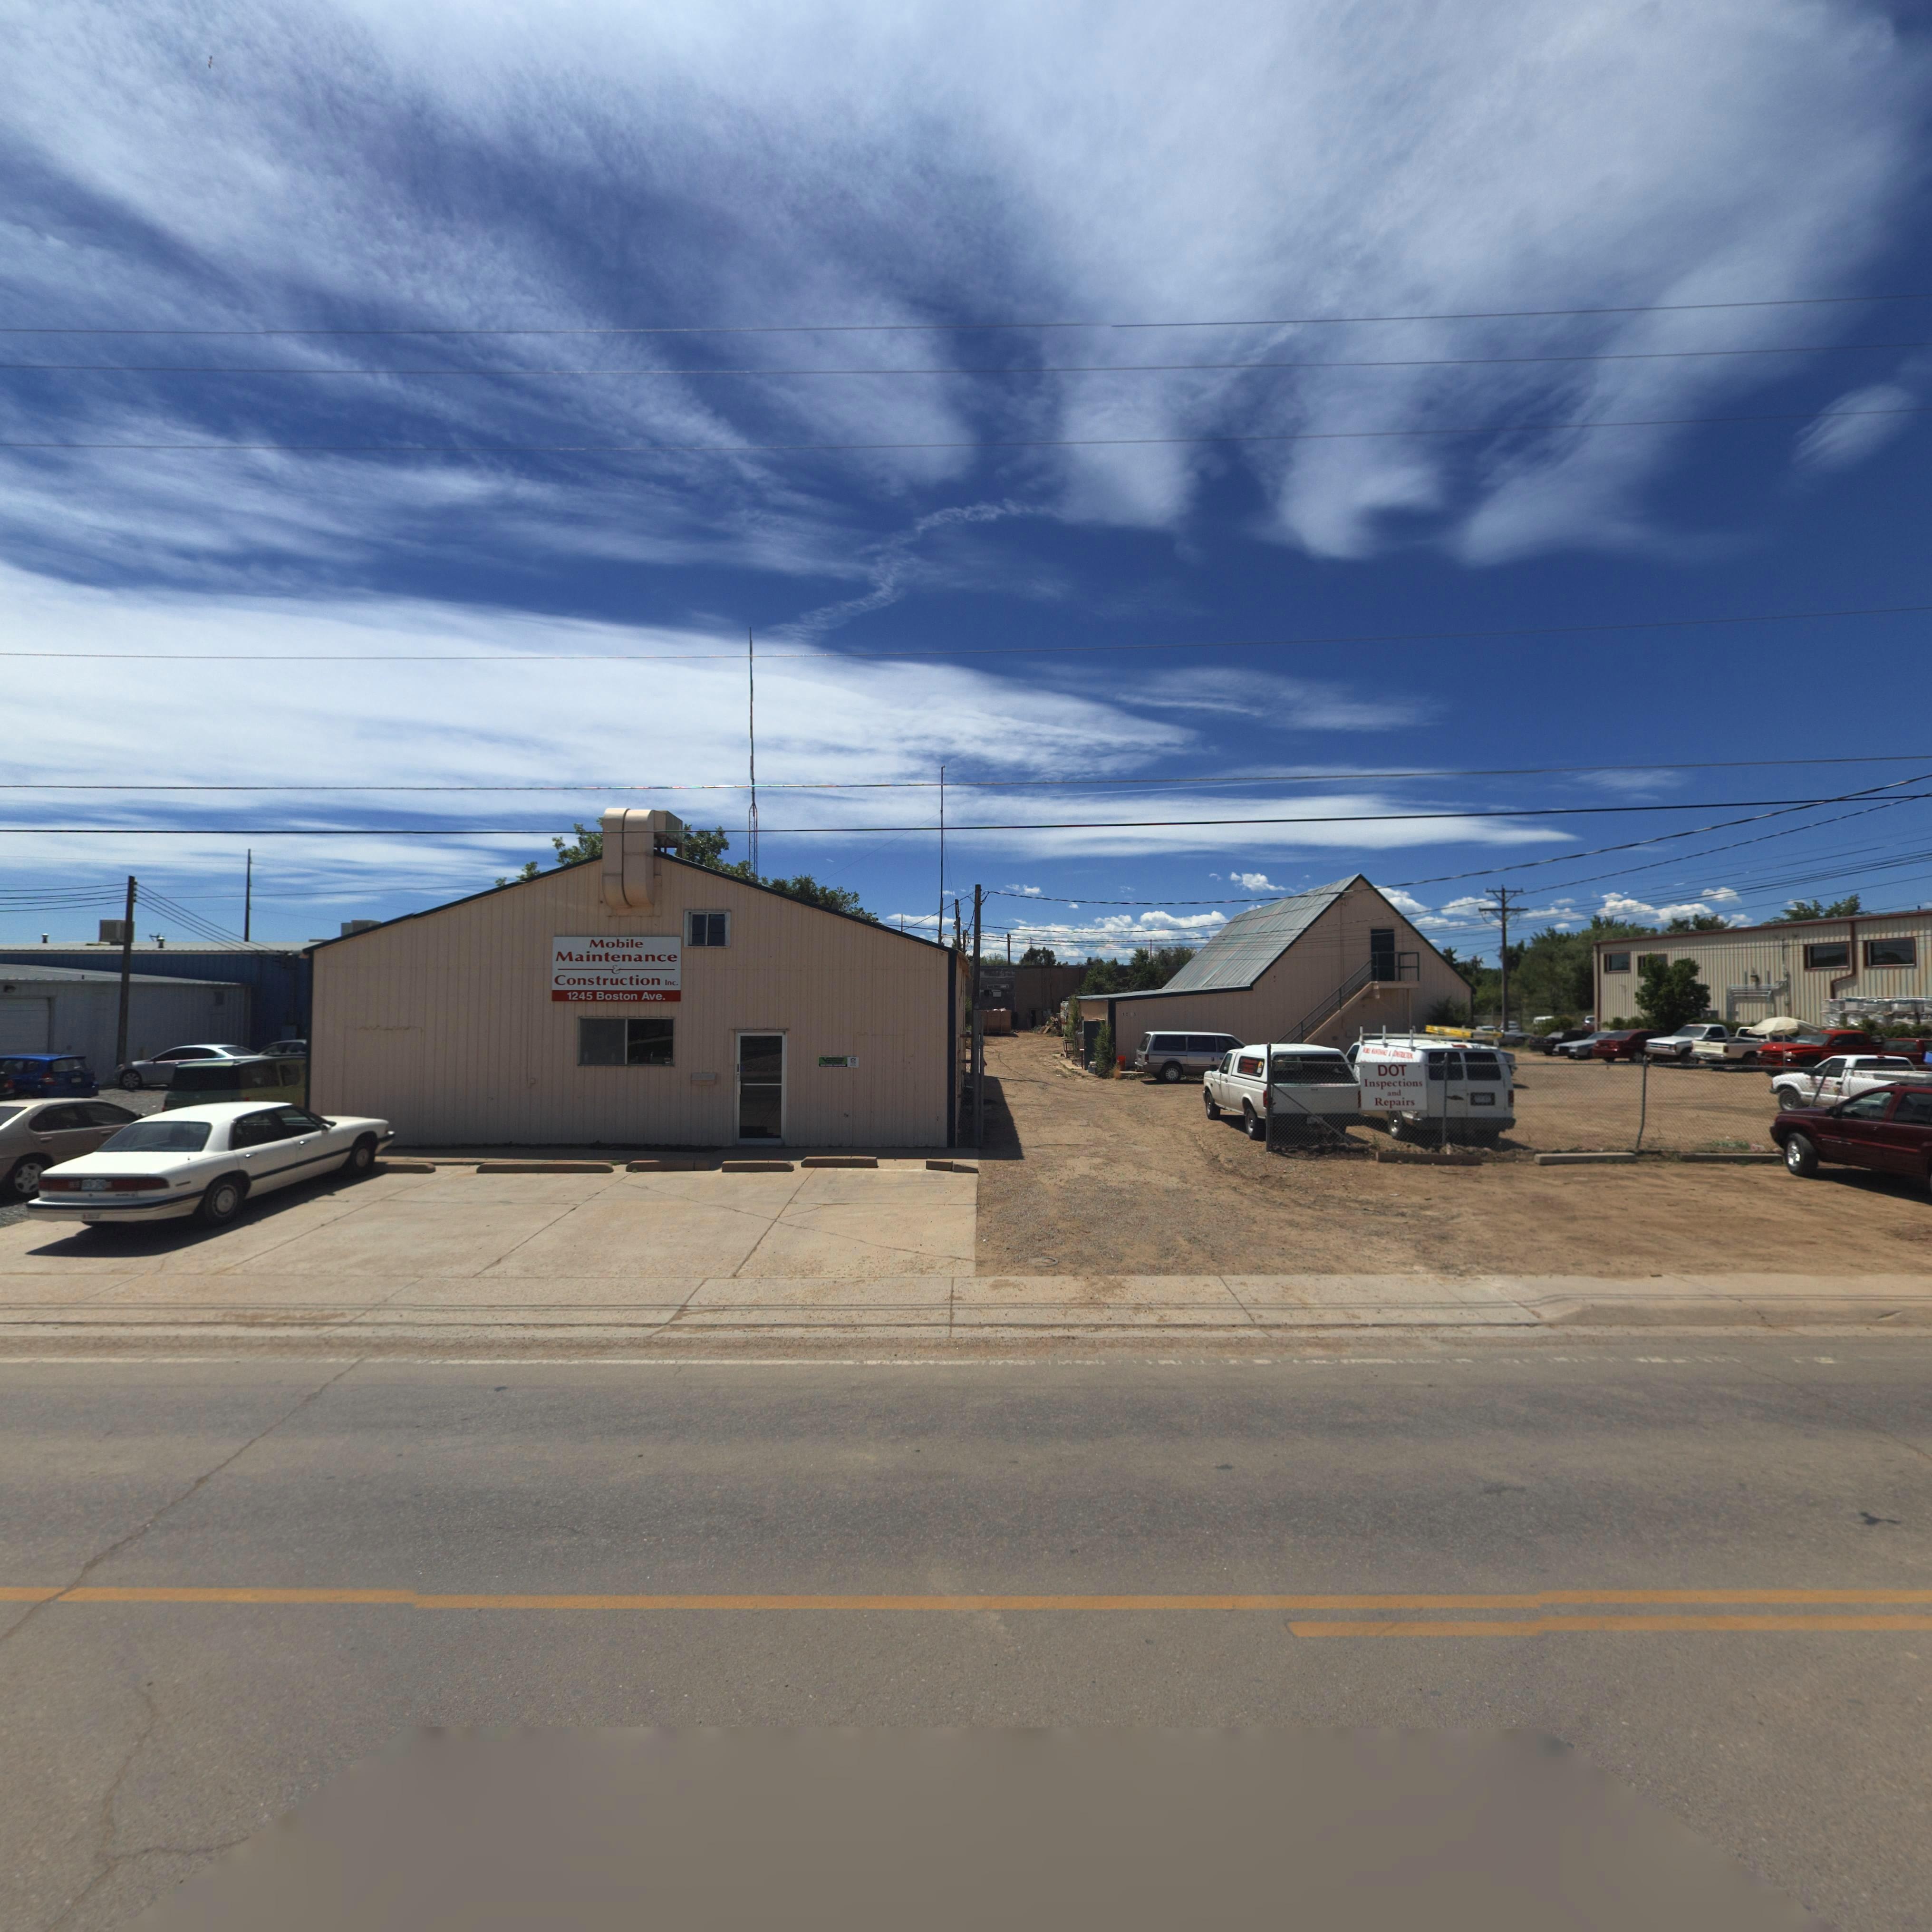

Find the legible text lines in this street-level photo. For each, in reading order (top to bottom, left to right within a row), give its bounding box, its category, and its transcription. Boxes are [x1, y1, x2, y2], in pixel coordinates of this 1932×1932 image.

[589, 938, 643, 948] BusinessName: Mobile
[555, 950, 678, 963] BusinessName: Maintenance
[552, 974, 679, 985] BusinessName: Construction Inc.
[567, 991, 593, 1001] StreetNumber: 1245
[596, 991, 666, 1001] StreetName: Boston Ave.
[1122, 1012, 1136, 1016] StreetNumber: 12*3
[1377, 1063, 1408, 1076] BusinessName: DOT
[1363, 1078, 1423, 1091] BusinessName: Inspections
[1387, 1089, 1401, 1096] BusinessName: and
[1373, 1096, 1415, 1110] BusinessName: Repairs